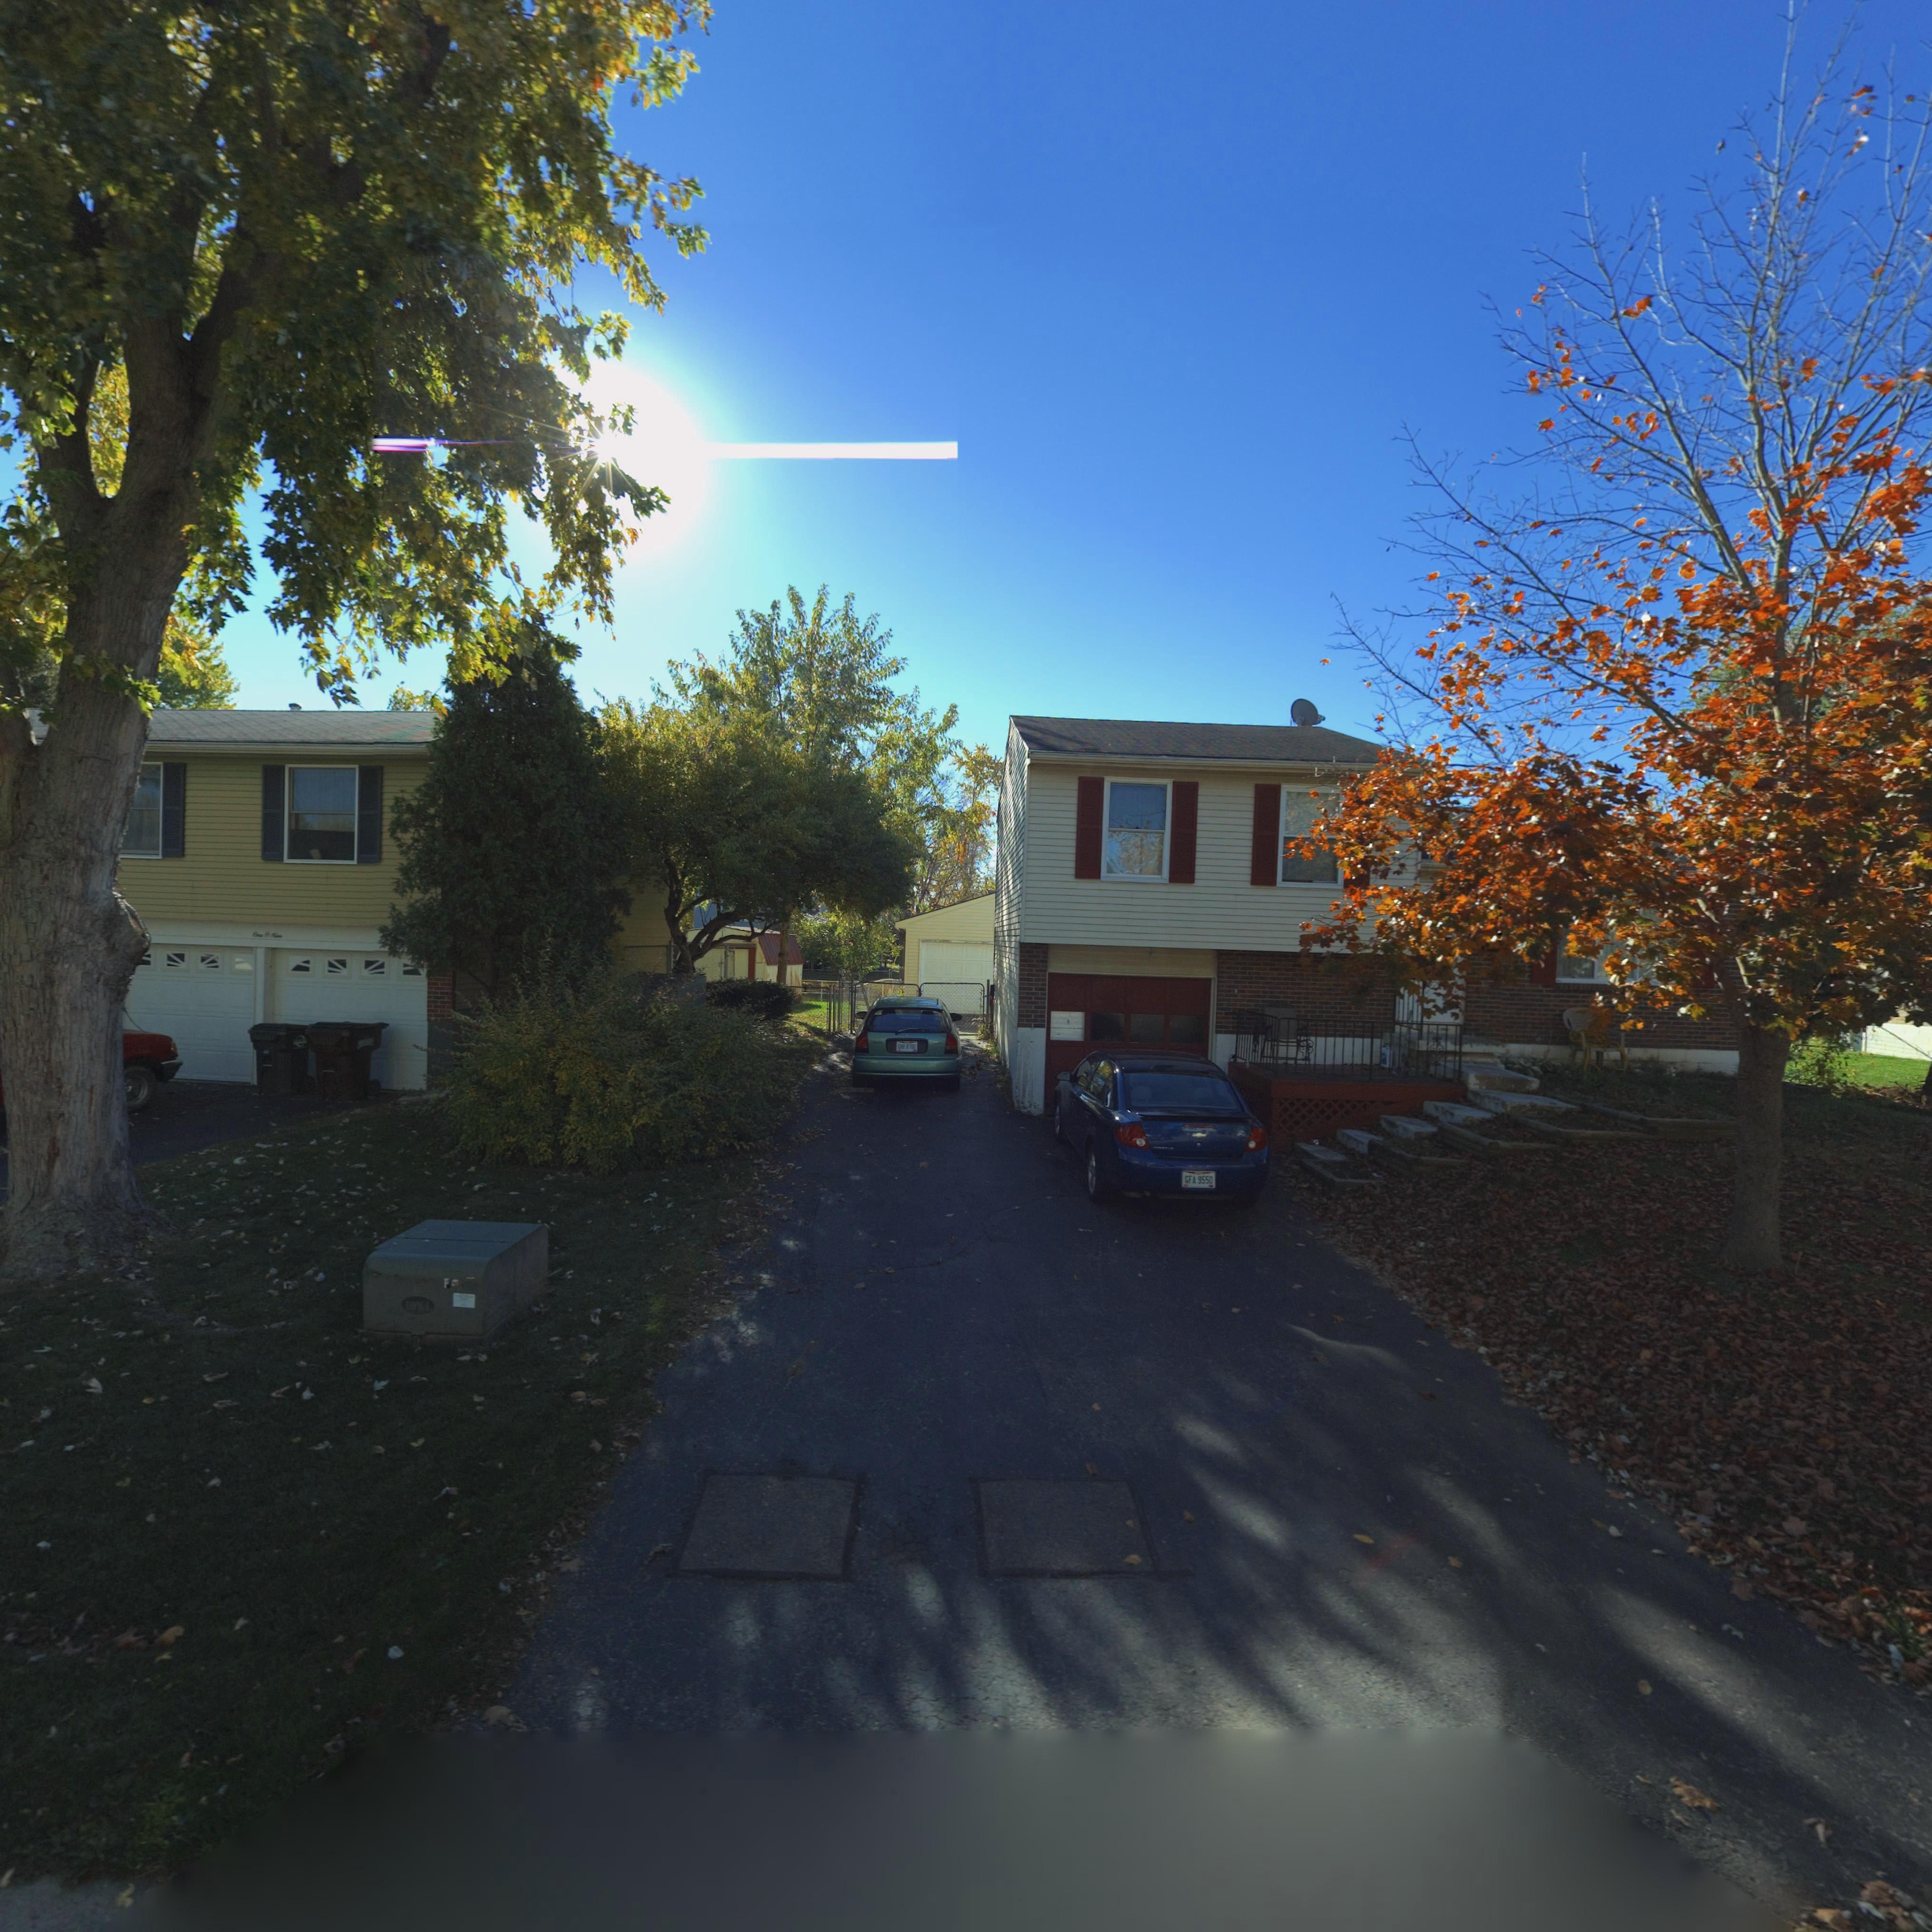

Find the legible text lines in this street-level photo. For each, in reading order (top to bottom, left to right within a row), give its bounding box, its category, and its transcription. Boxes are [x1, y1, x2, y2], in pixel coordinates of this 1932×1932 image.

[252, 931, 283, 938] StreetNumber: One 0 Nine